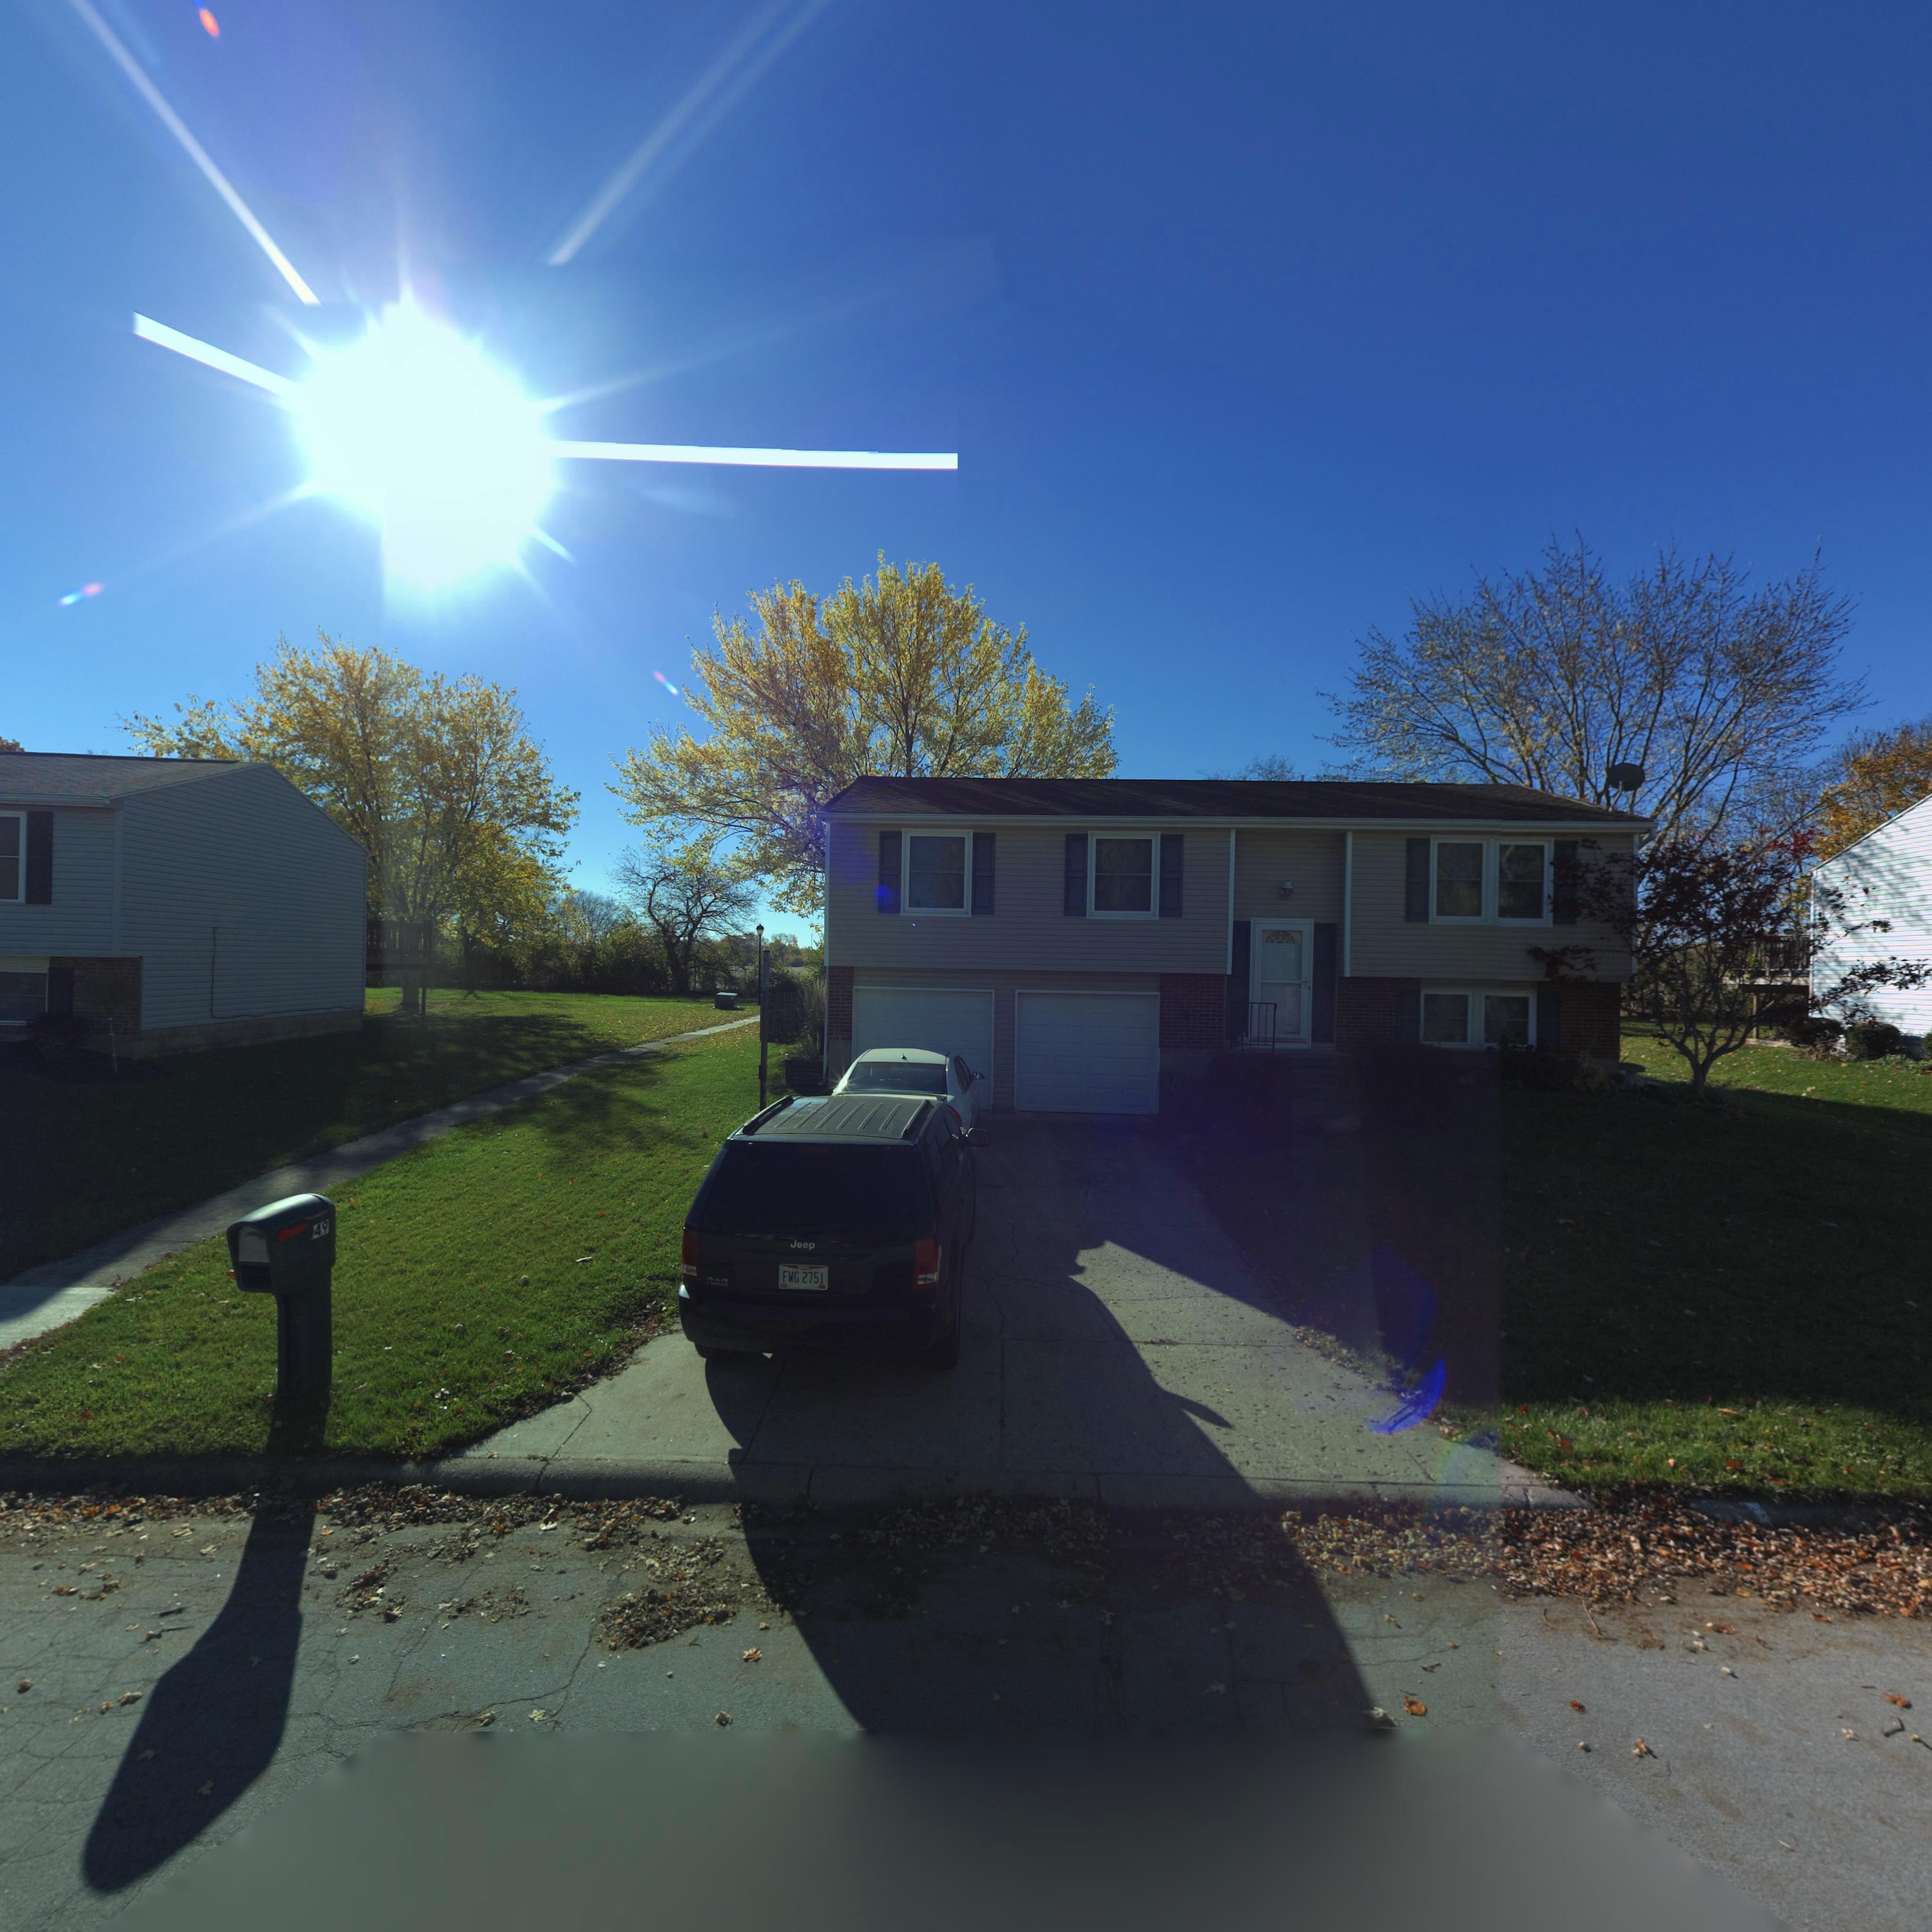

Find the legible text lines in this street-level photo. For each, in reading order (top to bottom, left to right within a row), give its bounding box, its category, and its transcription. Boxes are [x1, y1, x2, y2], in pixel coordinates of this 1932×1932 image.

[312, 1217, 329, 1240] StreetNumber: 49